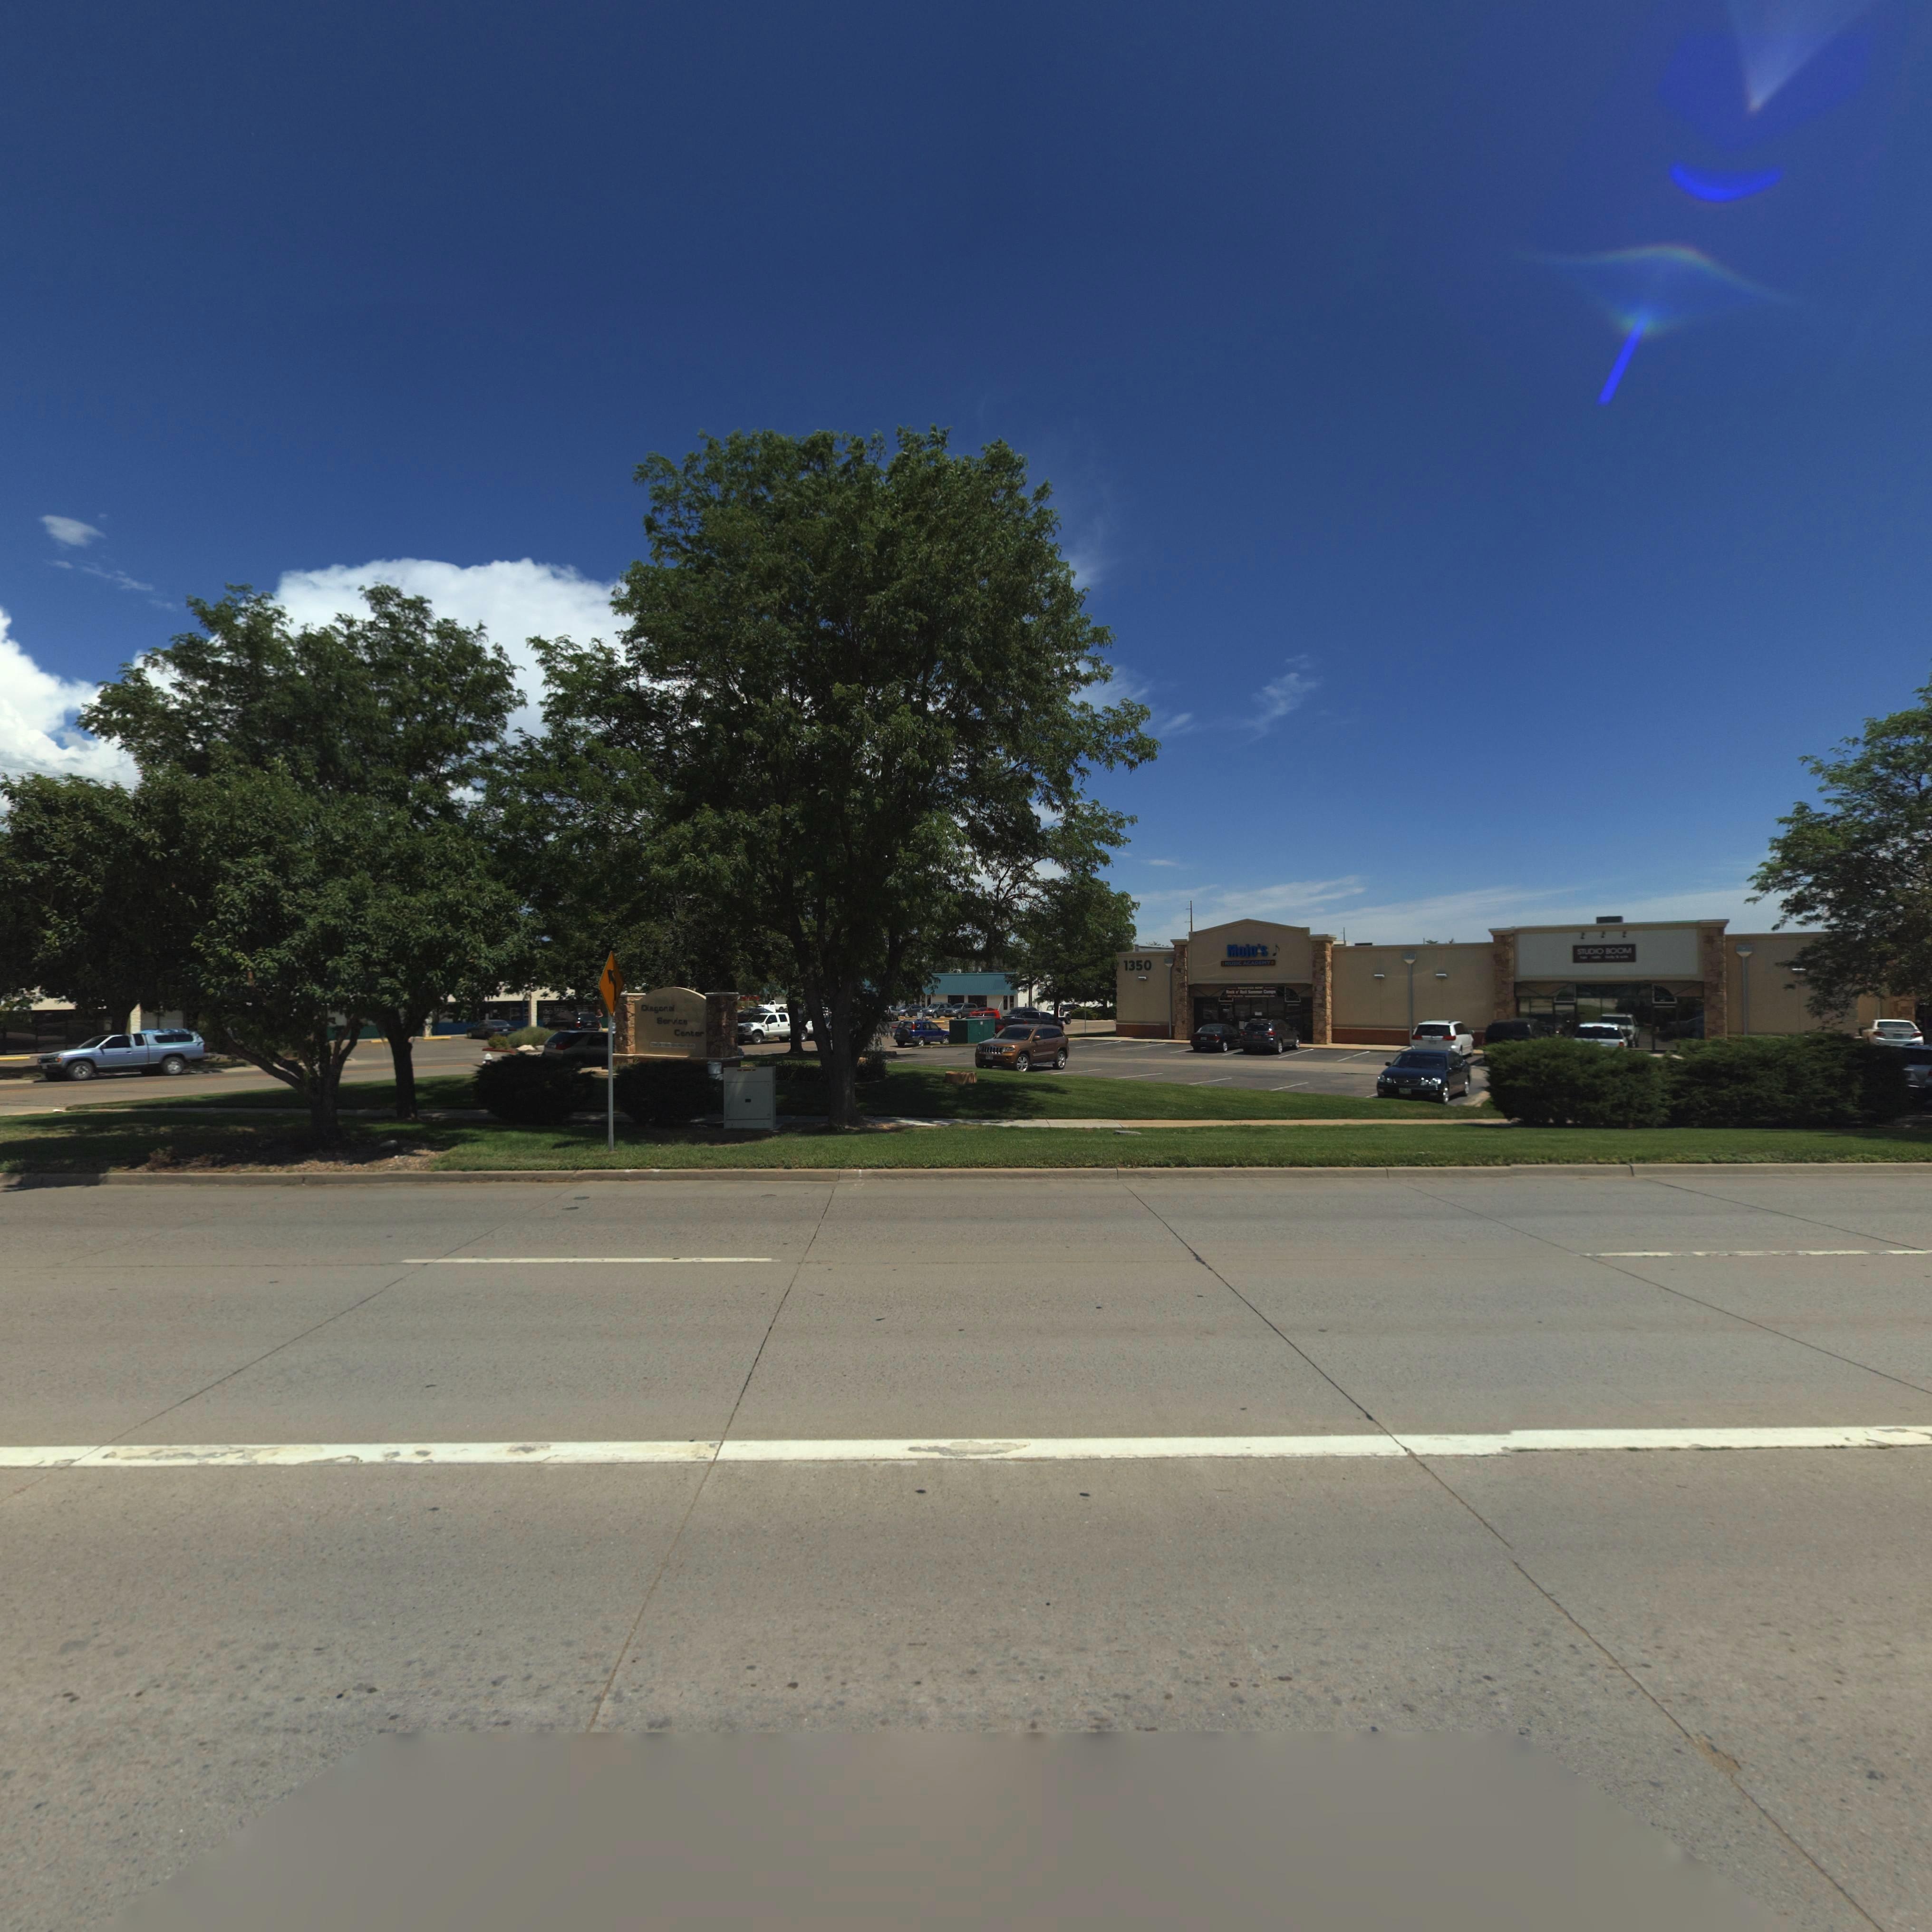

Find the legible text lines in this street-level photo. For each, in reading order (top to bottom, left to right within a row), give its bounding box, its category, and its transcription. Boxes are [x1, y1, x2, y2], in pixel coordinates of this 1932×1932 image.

[1227, 943, 1268, 958] BusinessName: Mojo's
[1577, 947, 1632, 955] BusinessName: STUDIO BOOM
[1123, 959, 1152, 971] StreetNumber: 1350
[1225, 960, 1271, 966] BusinessName: MUSIC ACADEMY